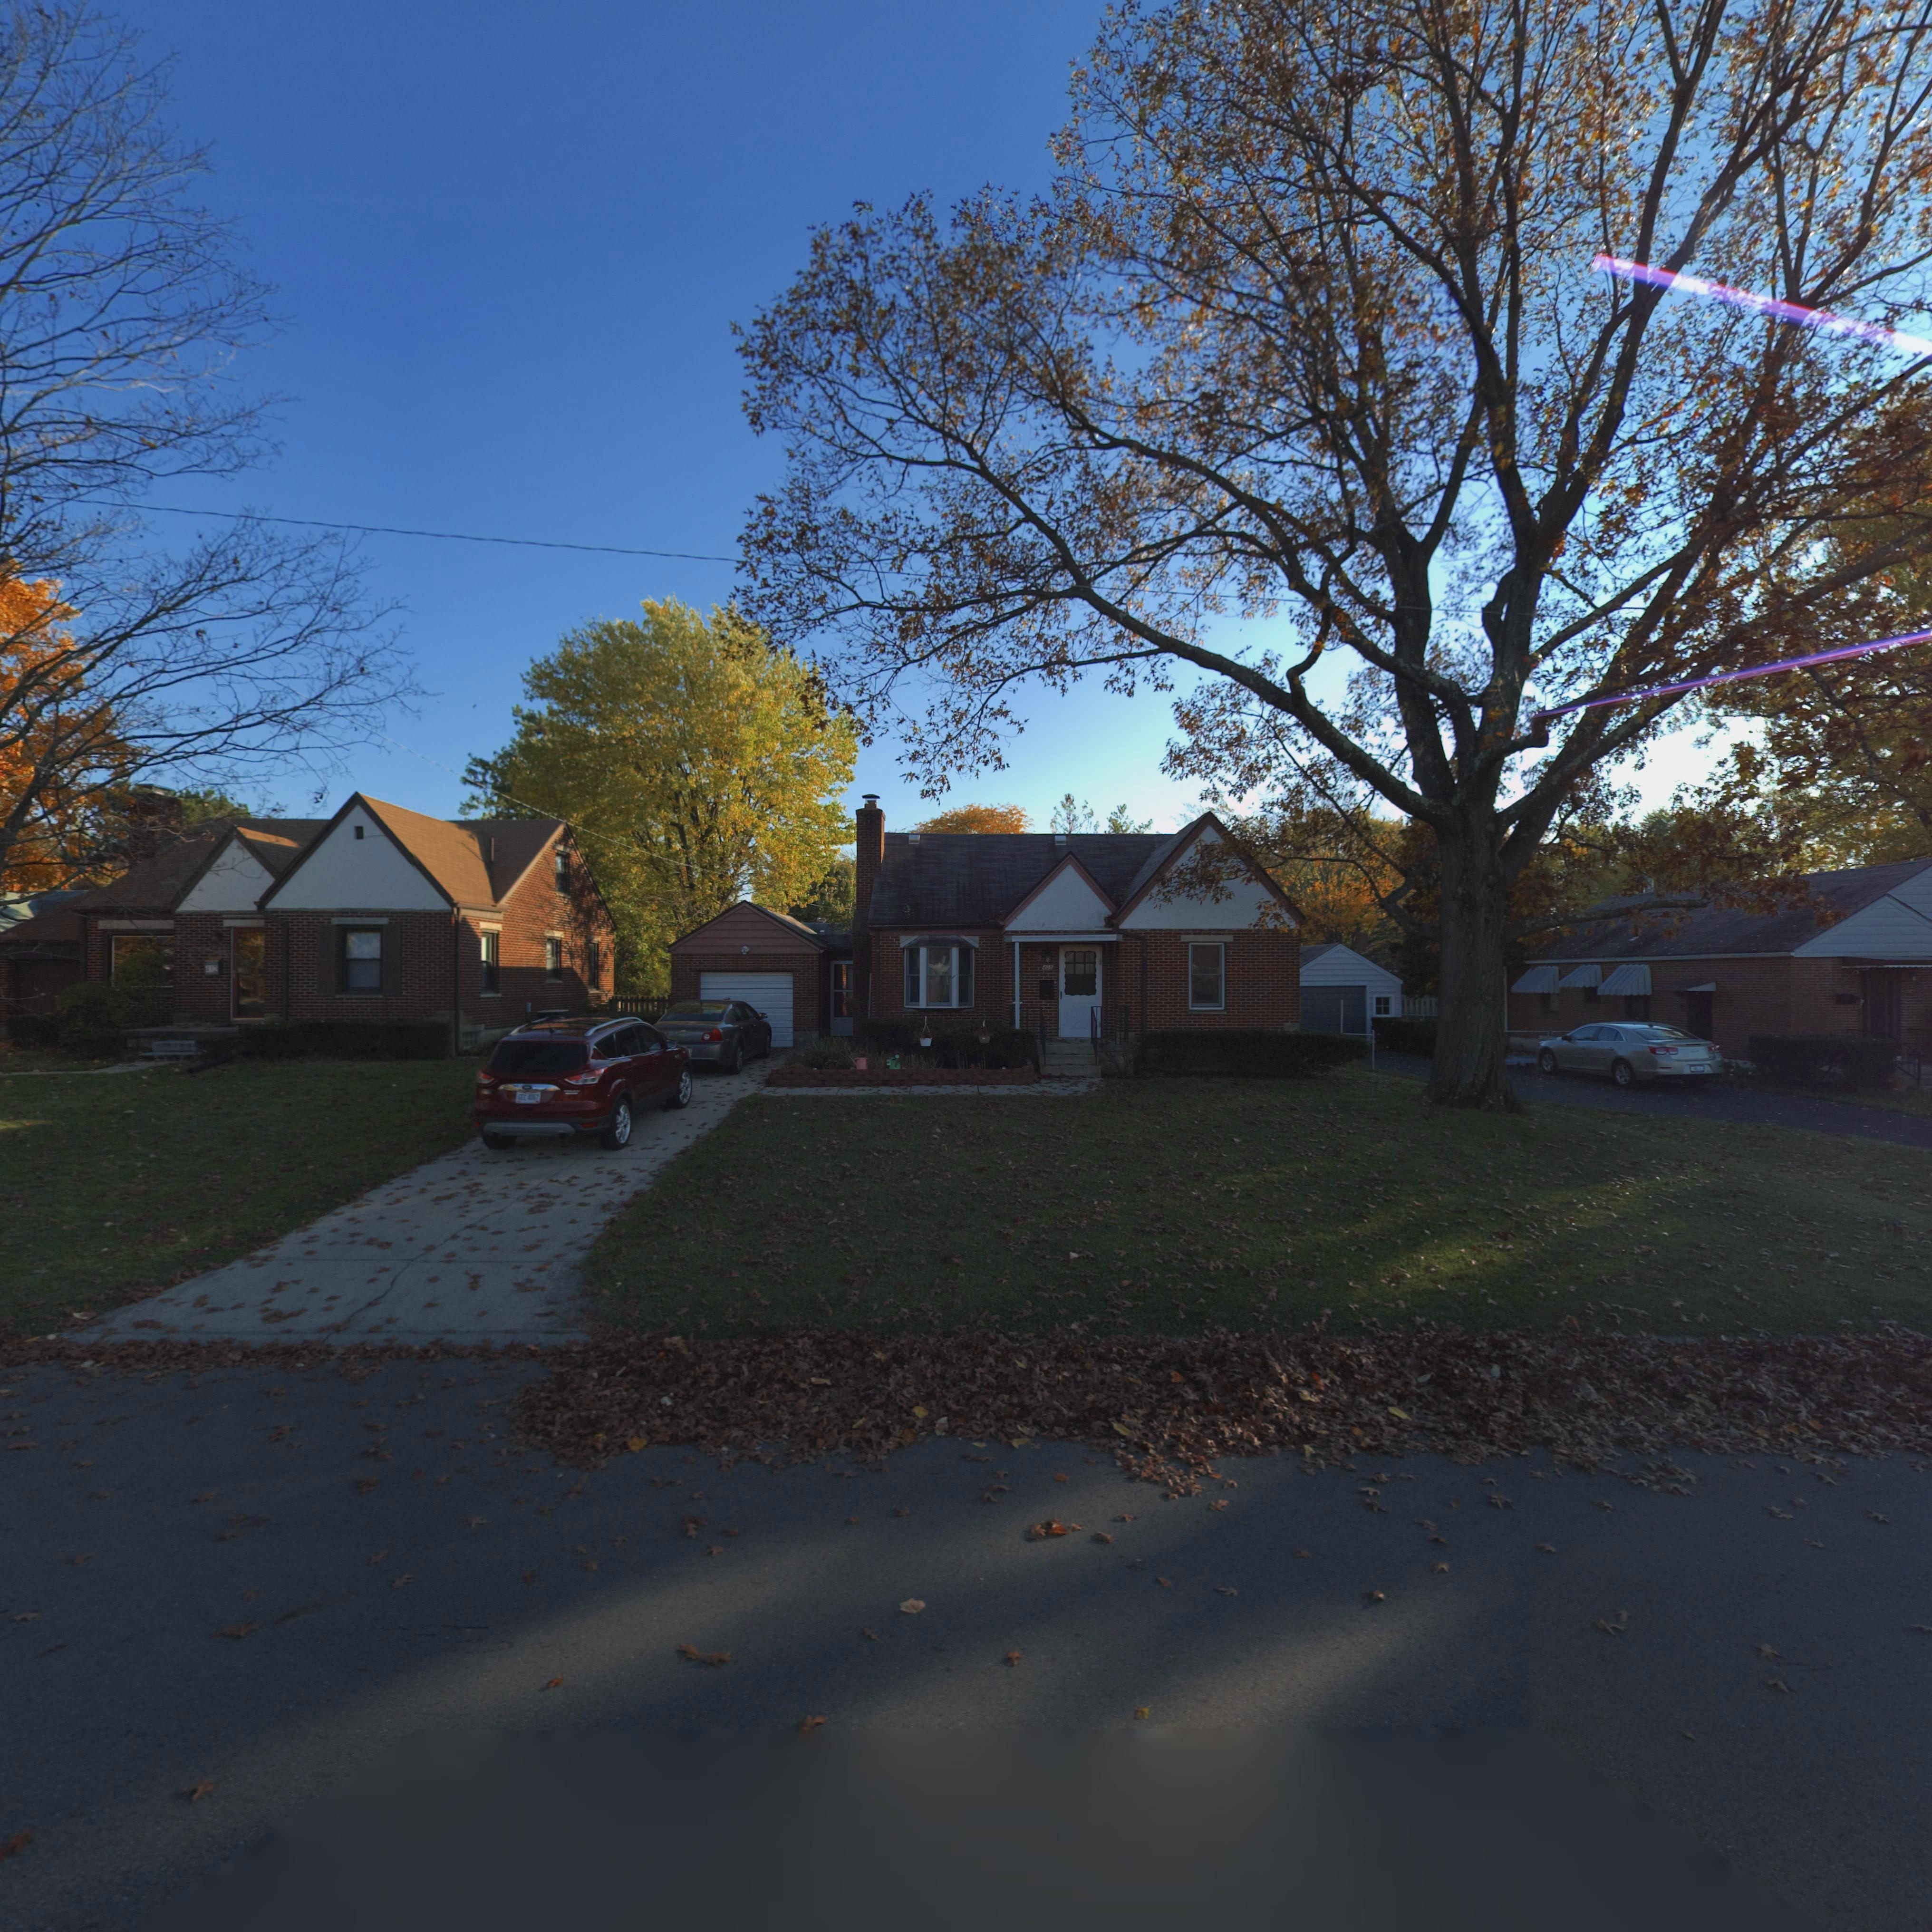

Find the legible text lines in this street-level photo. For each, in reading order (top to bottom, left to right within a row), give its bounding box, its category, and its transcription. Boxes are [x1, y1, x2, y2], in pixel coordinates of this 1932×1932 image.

[204, 964, 219, 973] StreetNumber: 41*
[1042, 965, 1053, 970] StreetNumber: 40*